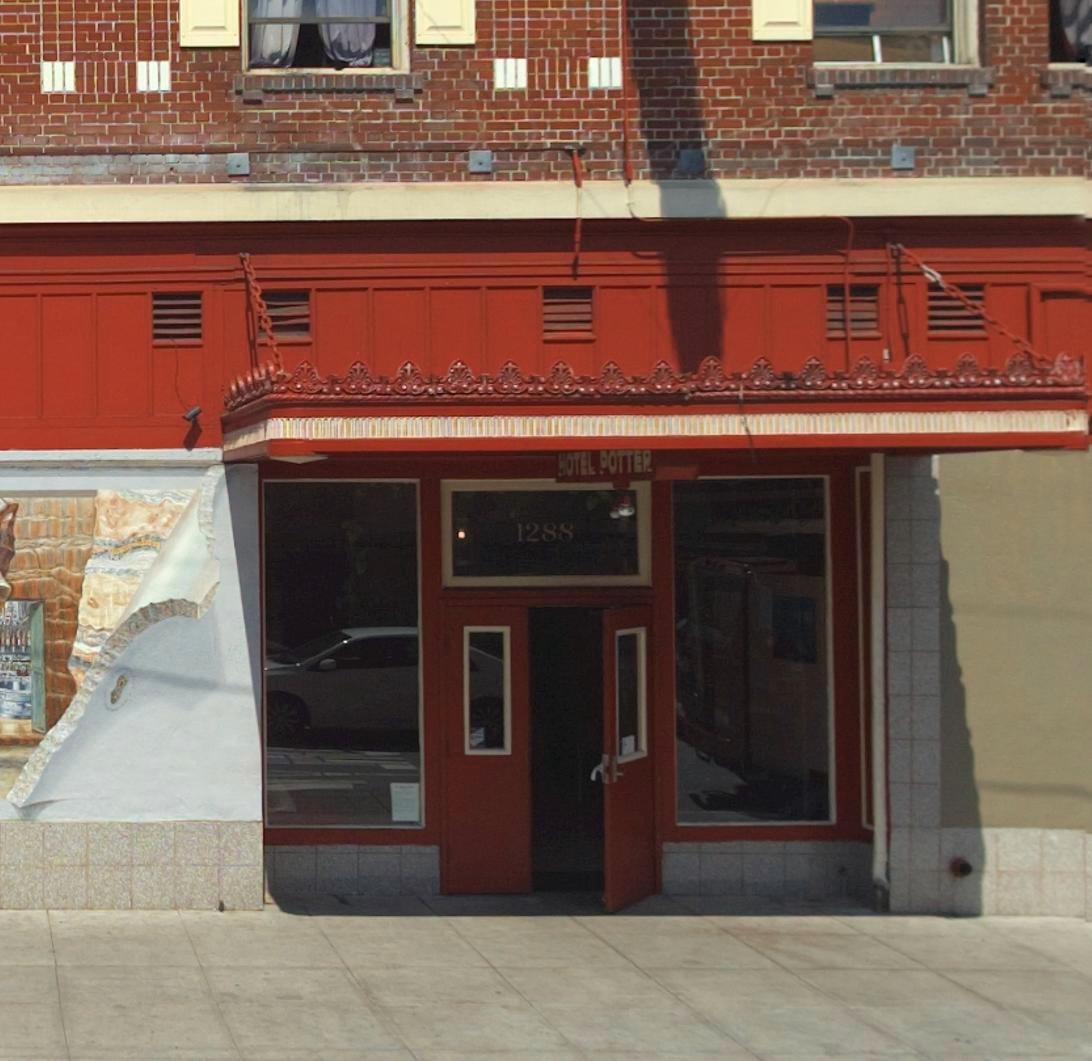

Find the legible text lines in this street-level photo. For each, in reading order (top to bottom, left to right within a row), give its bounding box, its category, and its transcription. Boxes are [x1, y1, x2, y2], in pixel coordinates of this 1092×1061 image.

[557, 448, 653, 477] BusinessName: HOTEL POTTER
[516, 521, 574, 543] StreetNumber: 1288